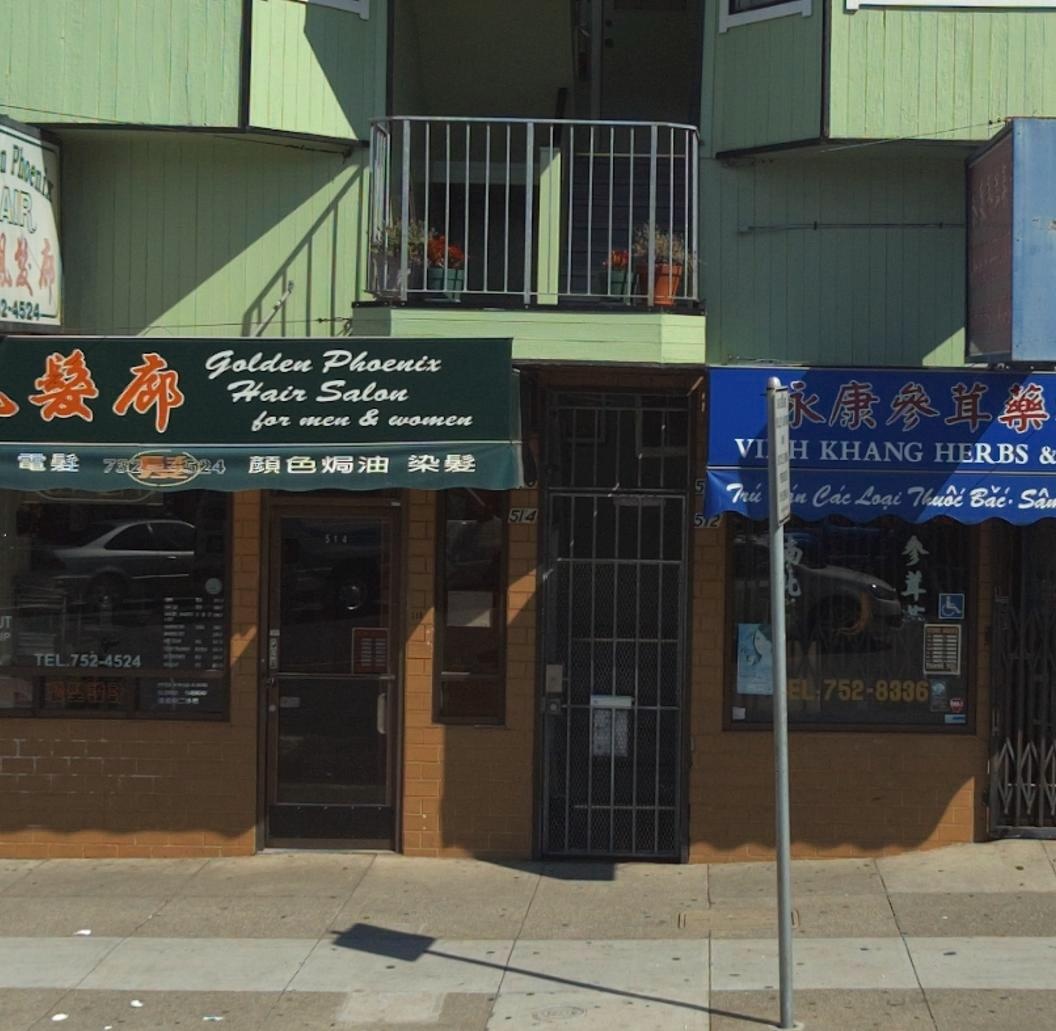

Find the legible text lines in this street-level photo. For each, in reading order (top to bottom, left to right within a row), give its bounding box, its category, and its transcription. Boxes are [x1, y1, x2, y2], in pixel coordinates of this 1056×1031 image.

[9, 144, 57, 203] BusinessName: Phoenix
[0, 183, 37, 236] None: AIR
[0, 296, 41, 323] None: 2-4524
[203, 348, 442, 381] BusinessName: Golden Phoenix
[223, 378, 409, 406] BusinessName: Hair Salon
[248, 409, 473, 433] None: for men & women
[732, 438, 1055, 465] BusinessName: VI*H KHANG HERBS &
[101, 457, 228, 476] None: 732-4524
[693, 479, 707, 493] StreetNumber: 5
[508, 507, 539, 524] StreetNumber: 514
[692, 511, 724, 528] StreetNumber: 5*2
[4, 614, 13, 629] None: T
[2, 630, 14, 643] None: P
[32, 652, 142, 669] None: TEL.752-4524
[786, 675, 930, 704] None: EL.752-8336